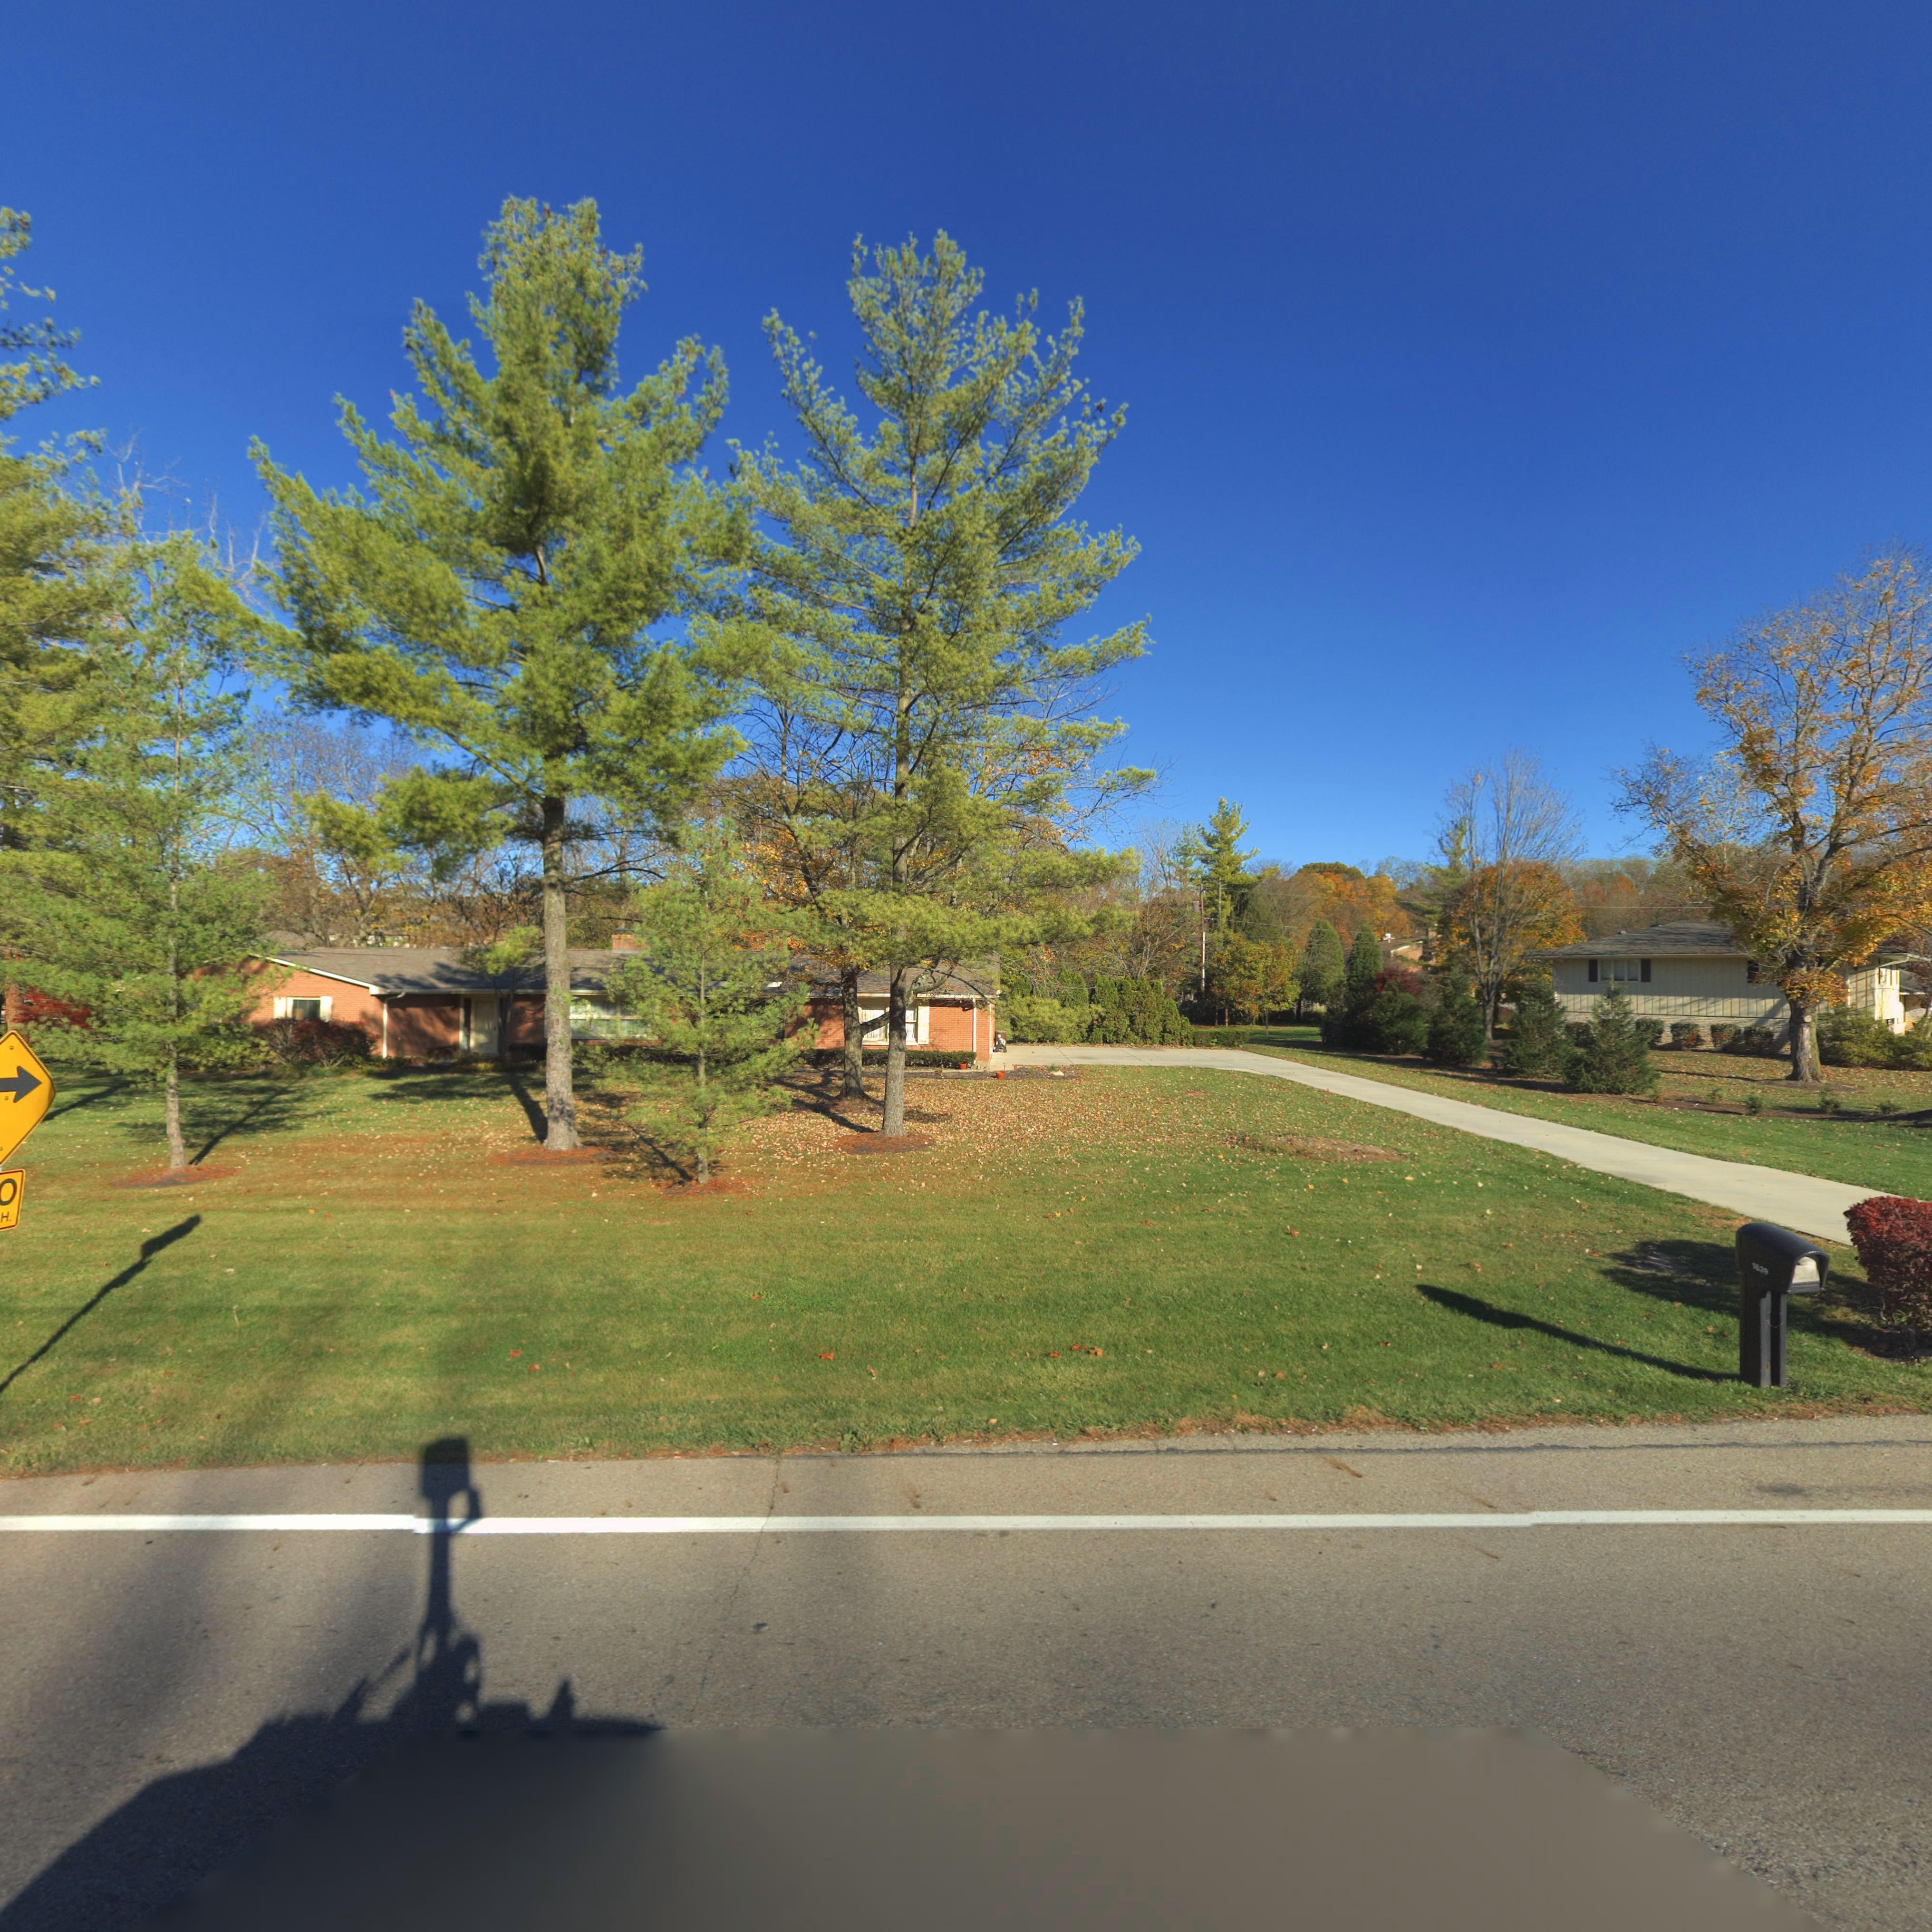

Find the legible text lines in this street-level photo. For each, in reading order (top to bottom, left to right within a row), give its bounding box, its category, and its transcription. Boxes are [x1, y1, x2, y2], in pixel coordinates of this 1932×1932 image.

[0, 1210, 10, 1224] None: H
[1751, 1261, 1769, 1276] StreetNumber: 16*9